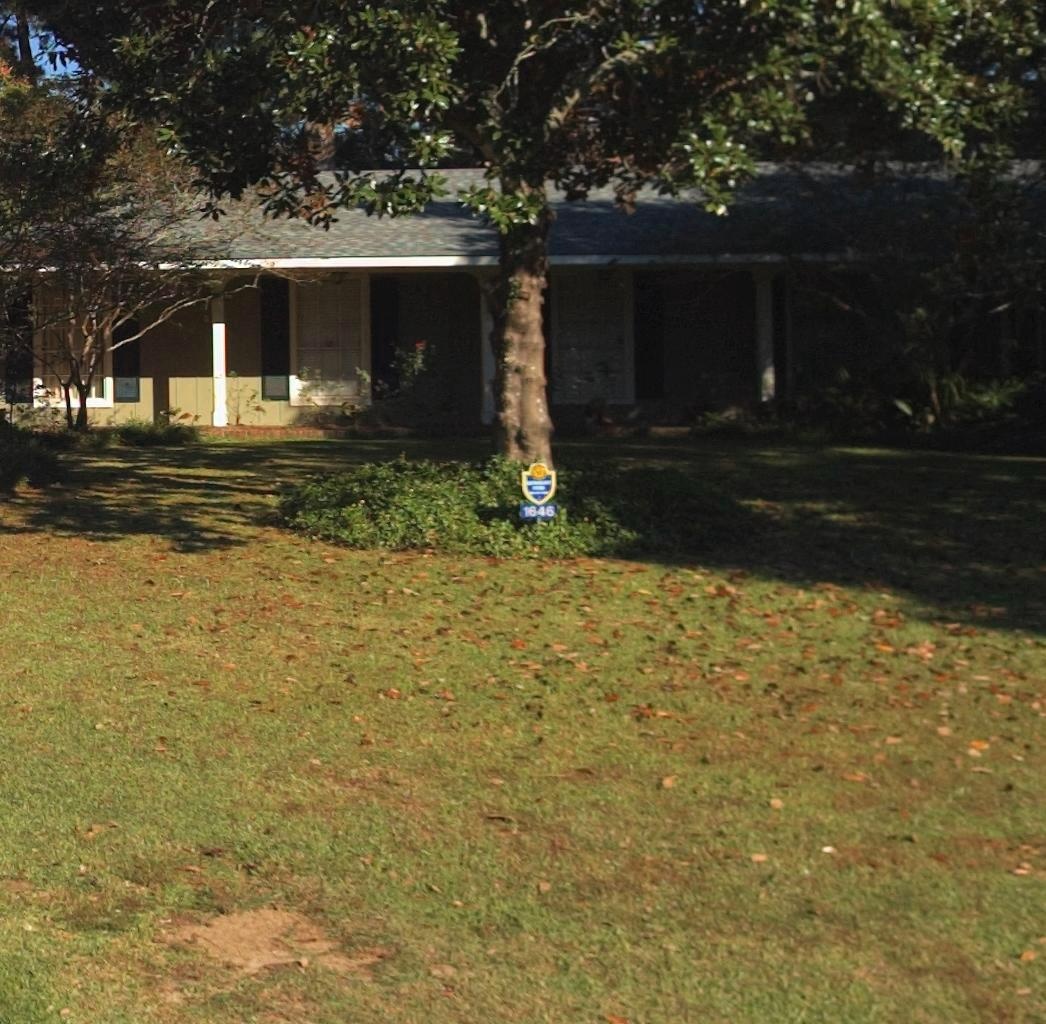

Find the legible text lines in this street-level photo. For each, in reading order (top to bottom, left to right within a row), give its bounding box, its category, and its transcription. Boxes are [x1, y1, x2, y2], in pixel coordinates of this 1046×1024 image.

[522, 504, 556, 519] StreetNumber: 1646